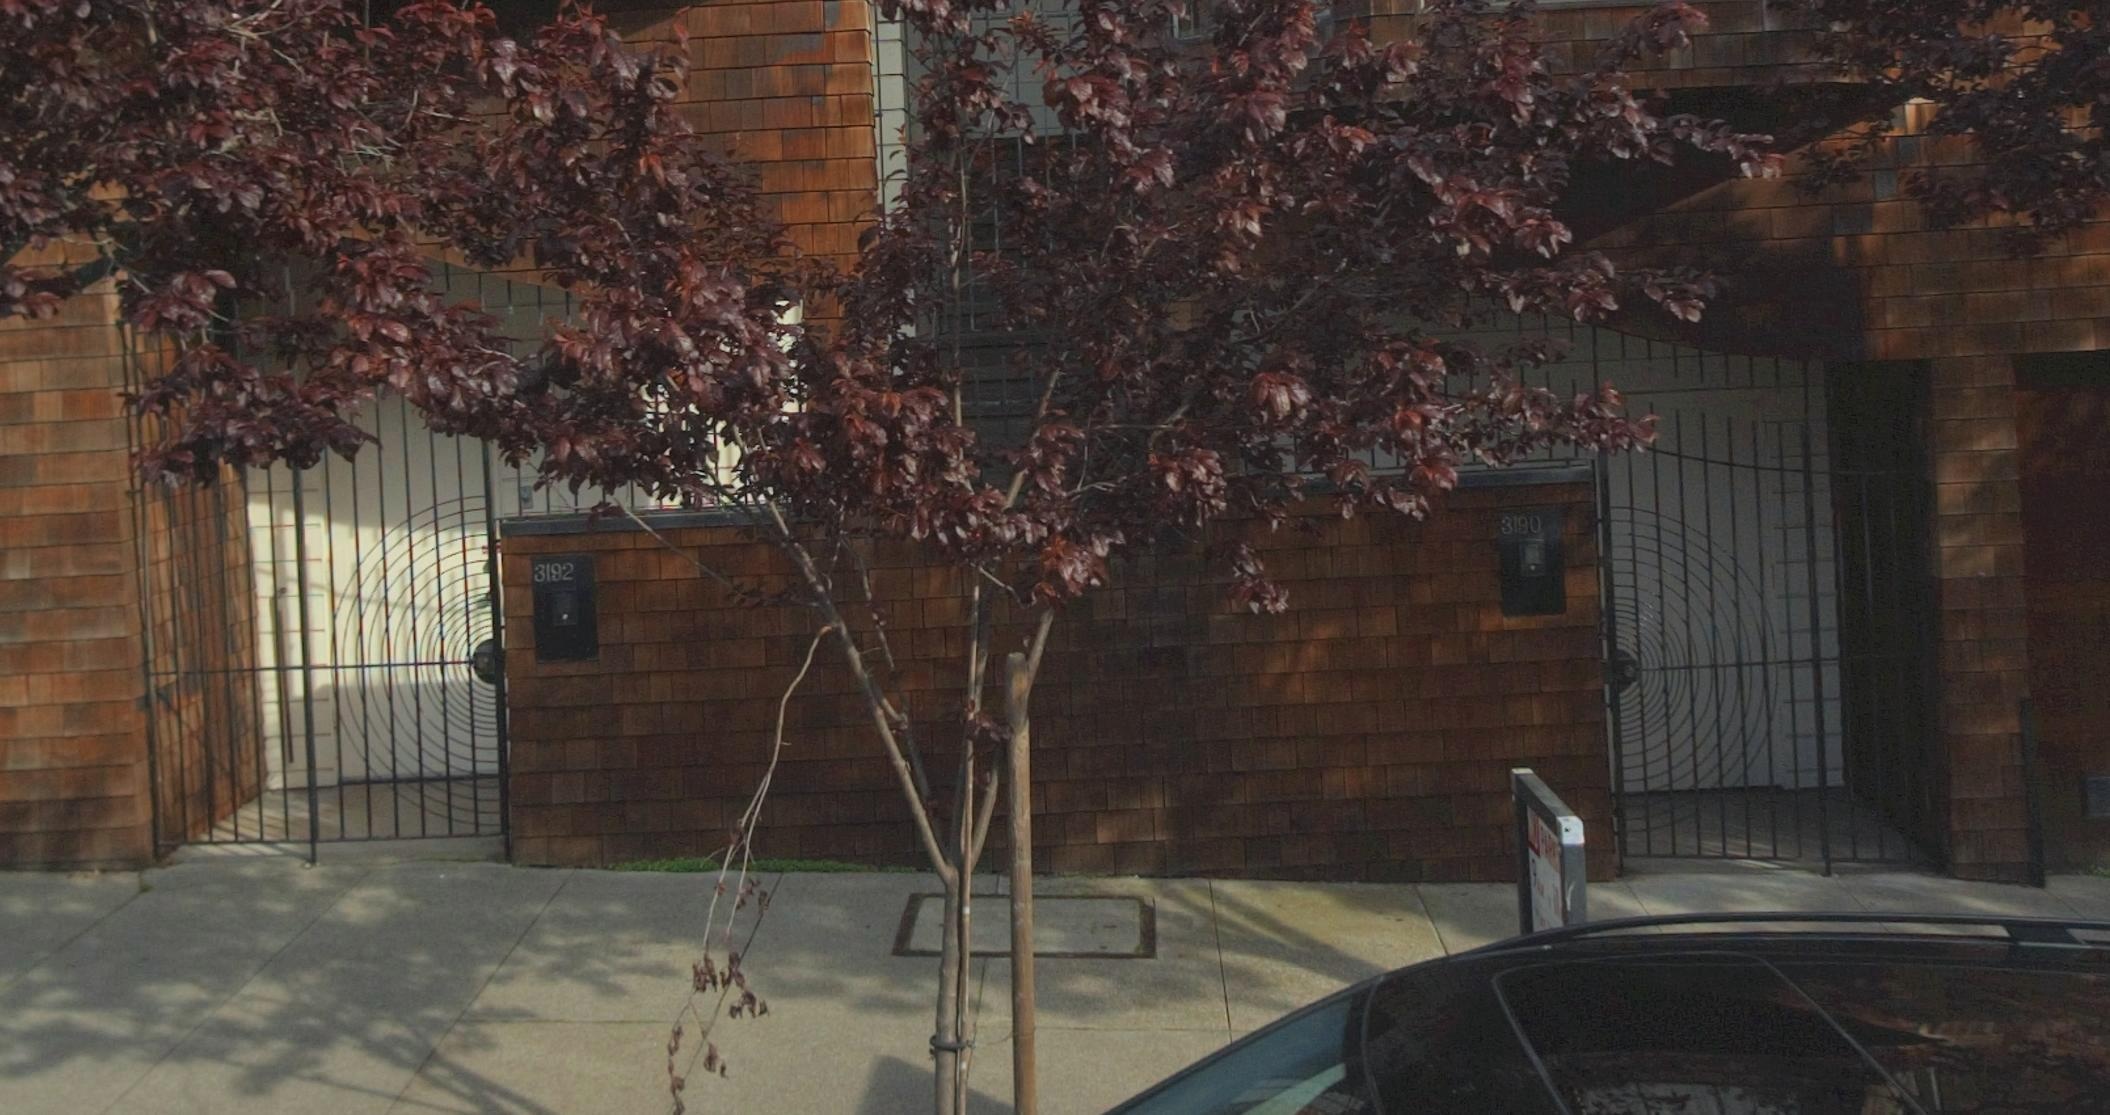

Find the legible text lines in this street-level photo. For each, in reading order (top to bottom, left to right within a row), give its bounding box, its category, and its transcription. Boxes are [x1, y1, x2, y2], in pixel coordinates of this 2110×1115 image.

[1499, 514, 1544, 537] StreetNumber: 3190
[532, 561, 576, 585] StreetNumber: 3192
[1530, 856, 1539, 889] None: 9